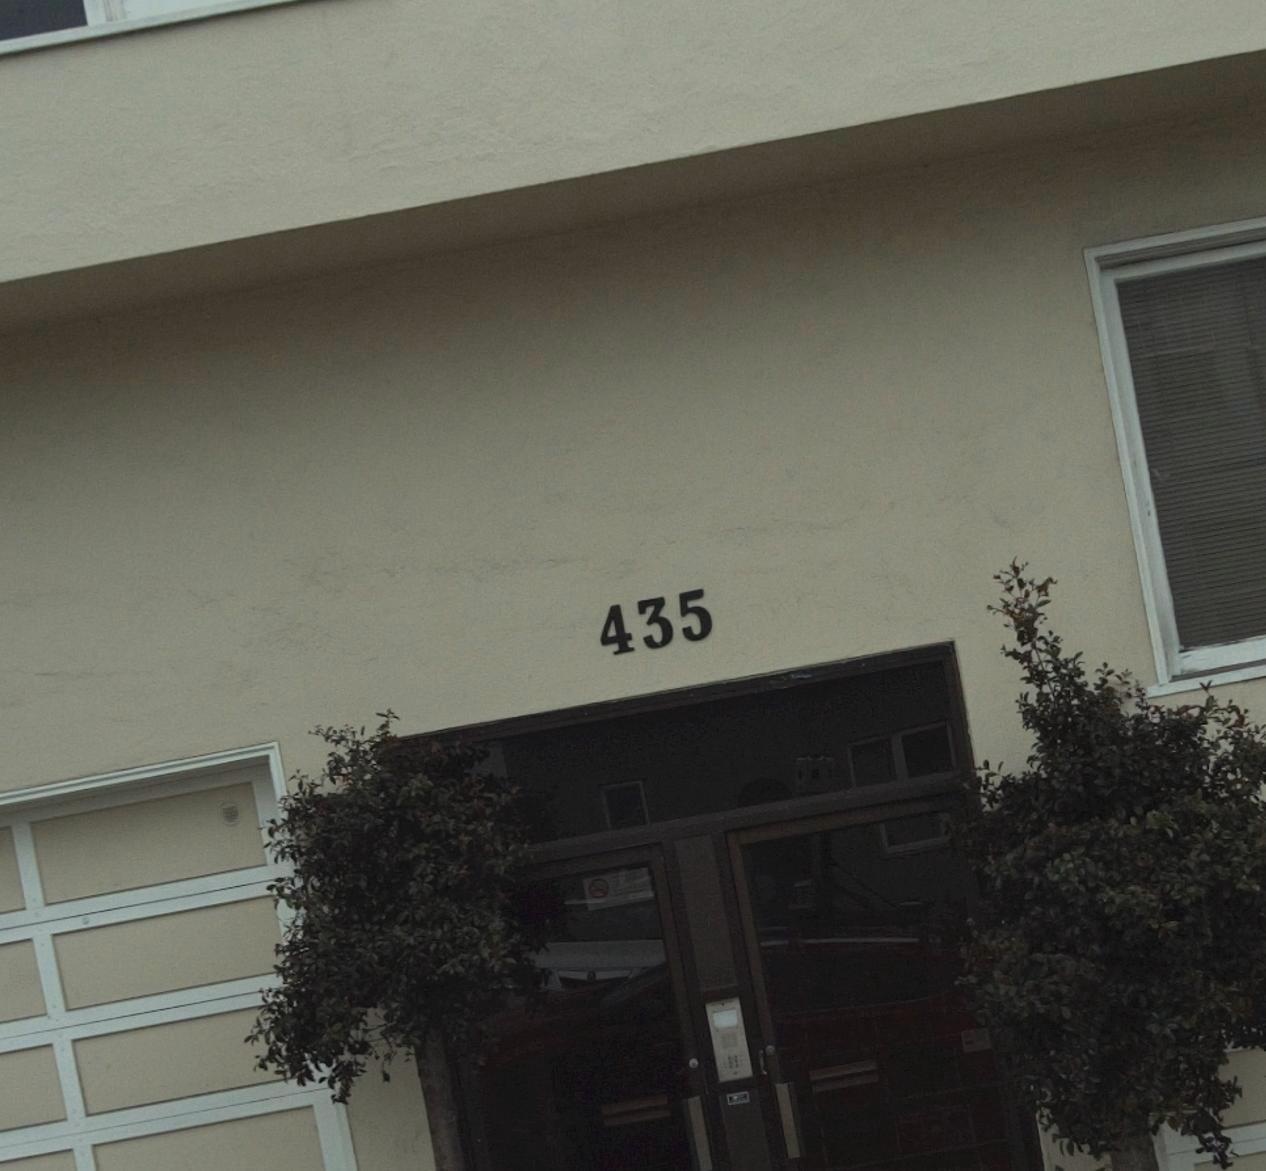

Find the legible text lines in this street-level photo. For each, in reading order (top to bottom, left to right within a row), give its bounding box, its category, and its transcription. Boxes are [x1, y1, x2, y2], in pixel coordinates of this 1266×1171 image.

[593, 582, 721, 663] StreetNumber: 435